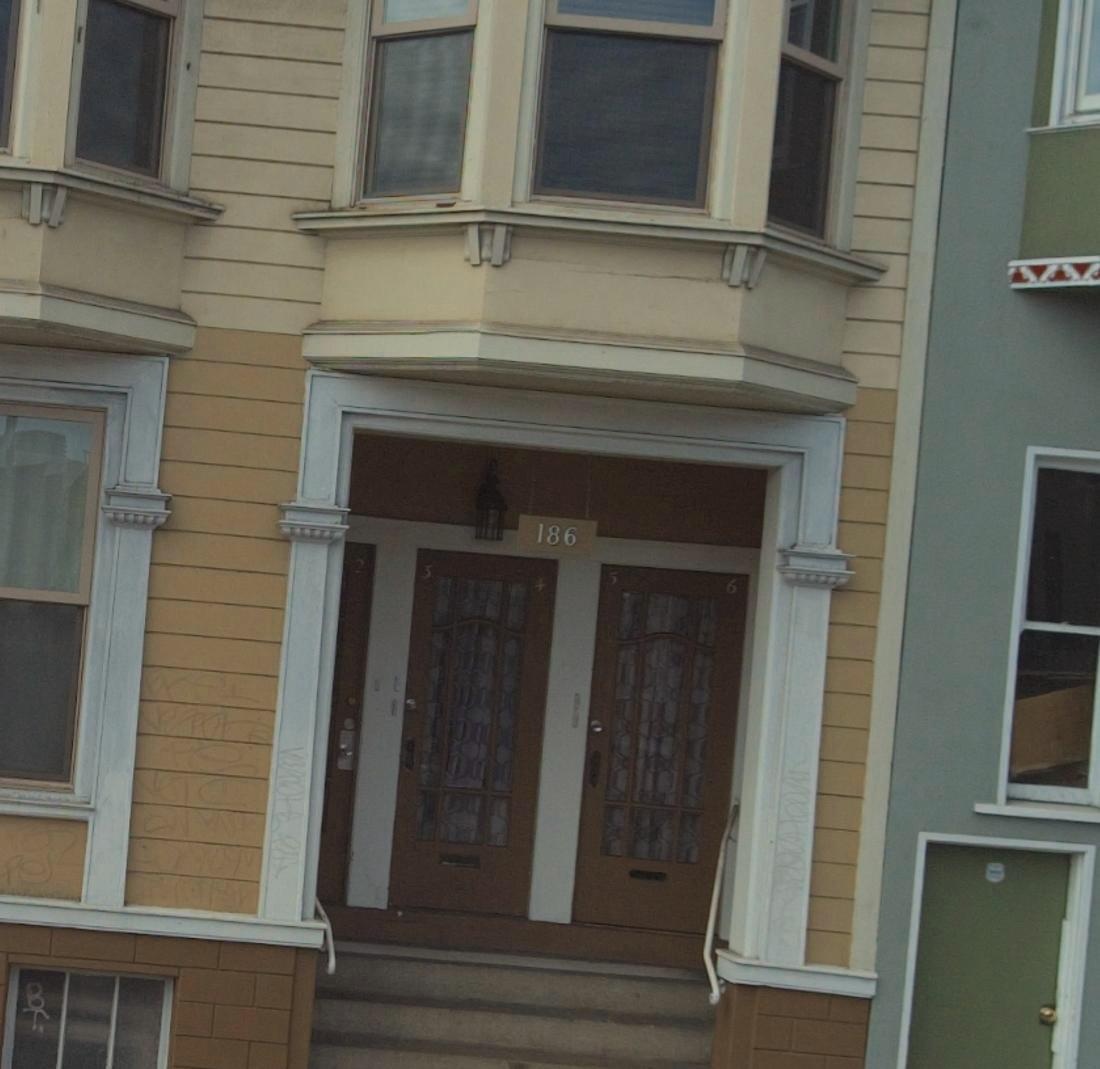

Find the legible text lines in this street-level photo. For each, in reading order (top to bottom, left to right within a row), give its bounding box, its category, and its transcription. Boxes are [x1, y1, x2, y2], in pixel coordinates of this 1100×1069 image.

[534, 519, 581, 551] StreetNumber: 186
[351, 555, 368, 577] StreetNumber: 2
[416, 561, 435, 582] StreetNumber: 3
[532, 573, 548, 595] StreetNumber: 4
[603, 569, 621, 587] StreetNumber: 5
[723, 574, 741, 596] StreetNumber: 6
[22, 978, 50, 1014] None: B